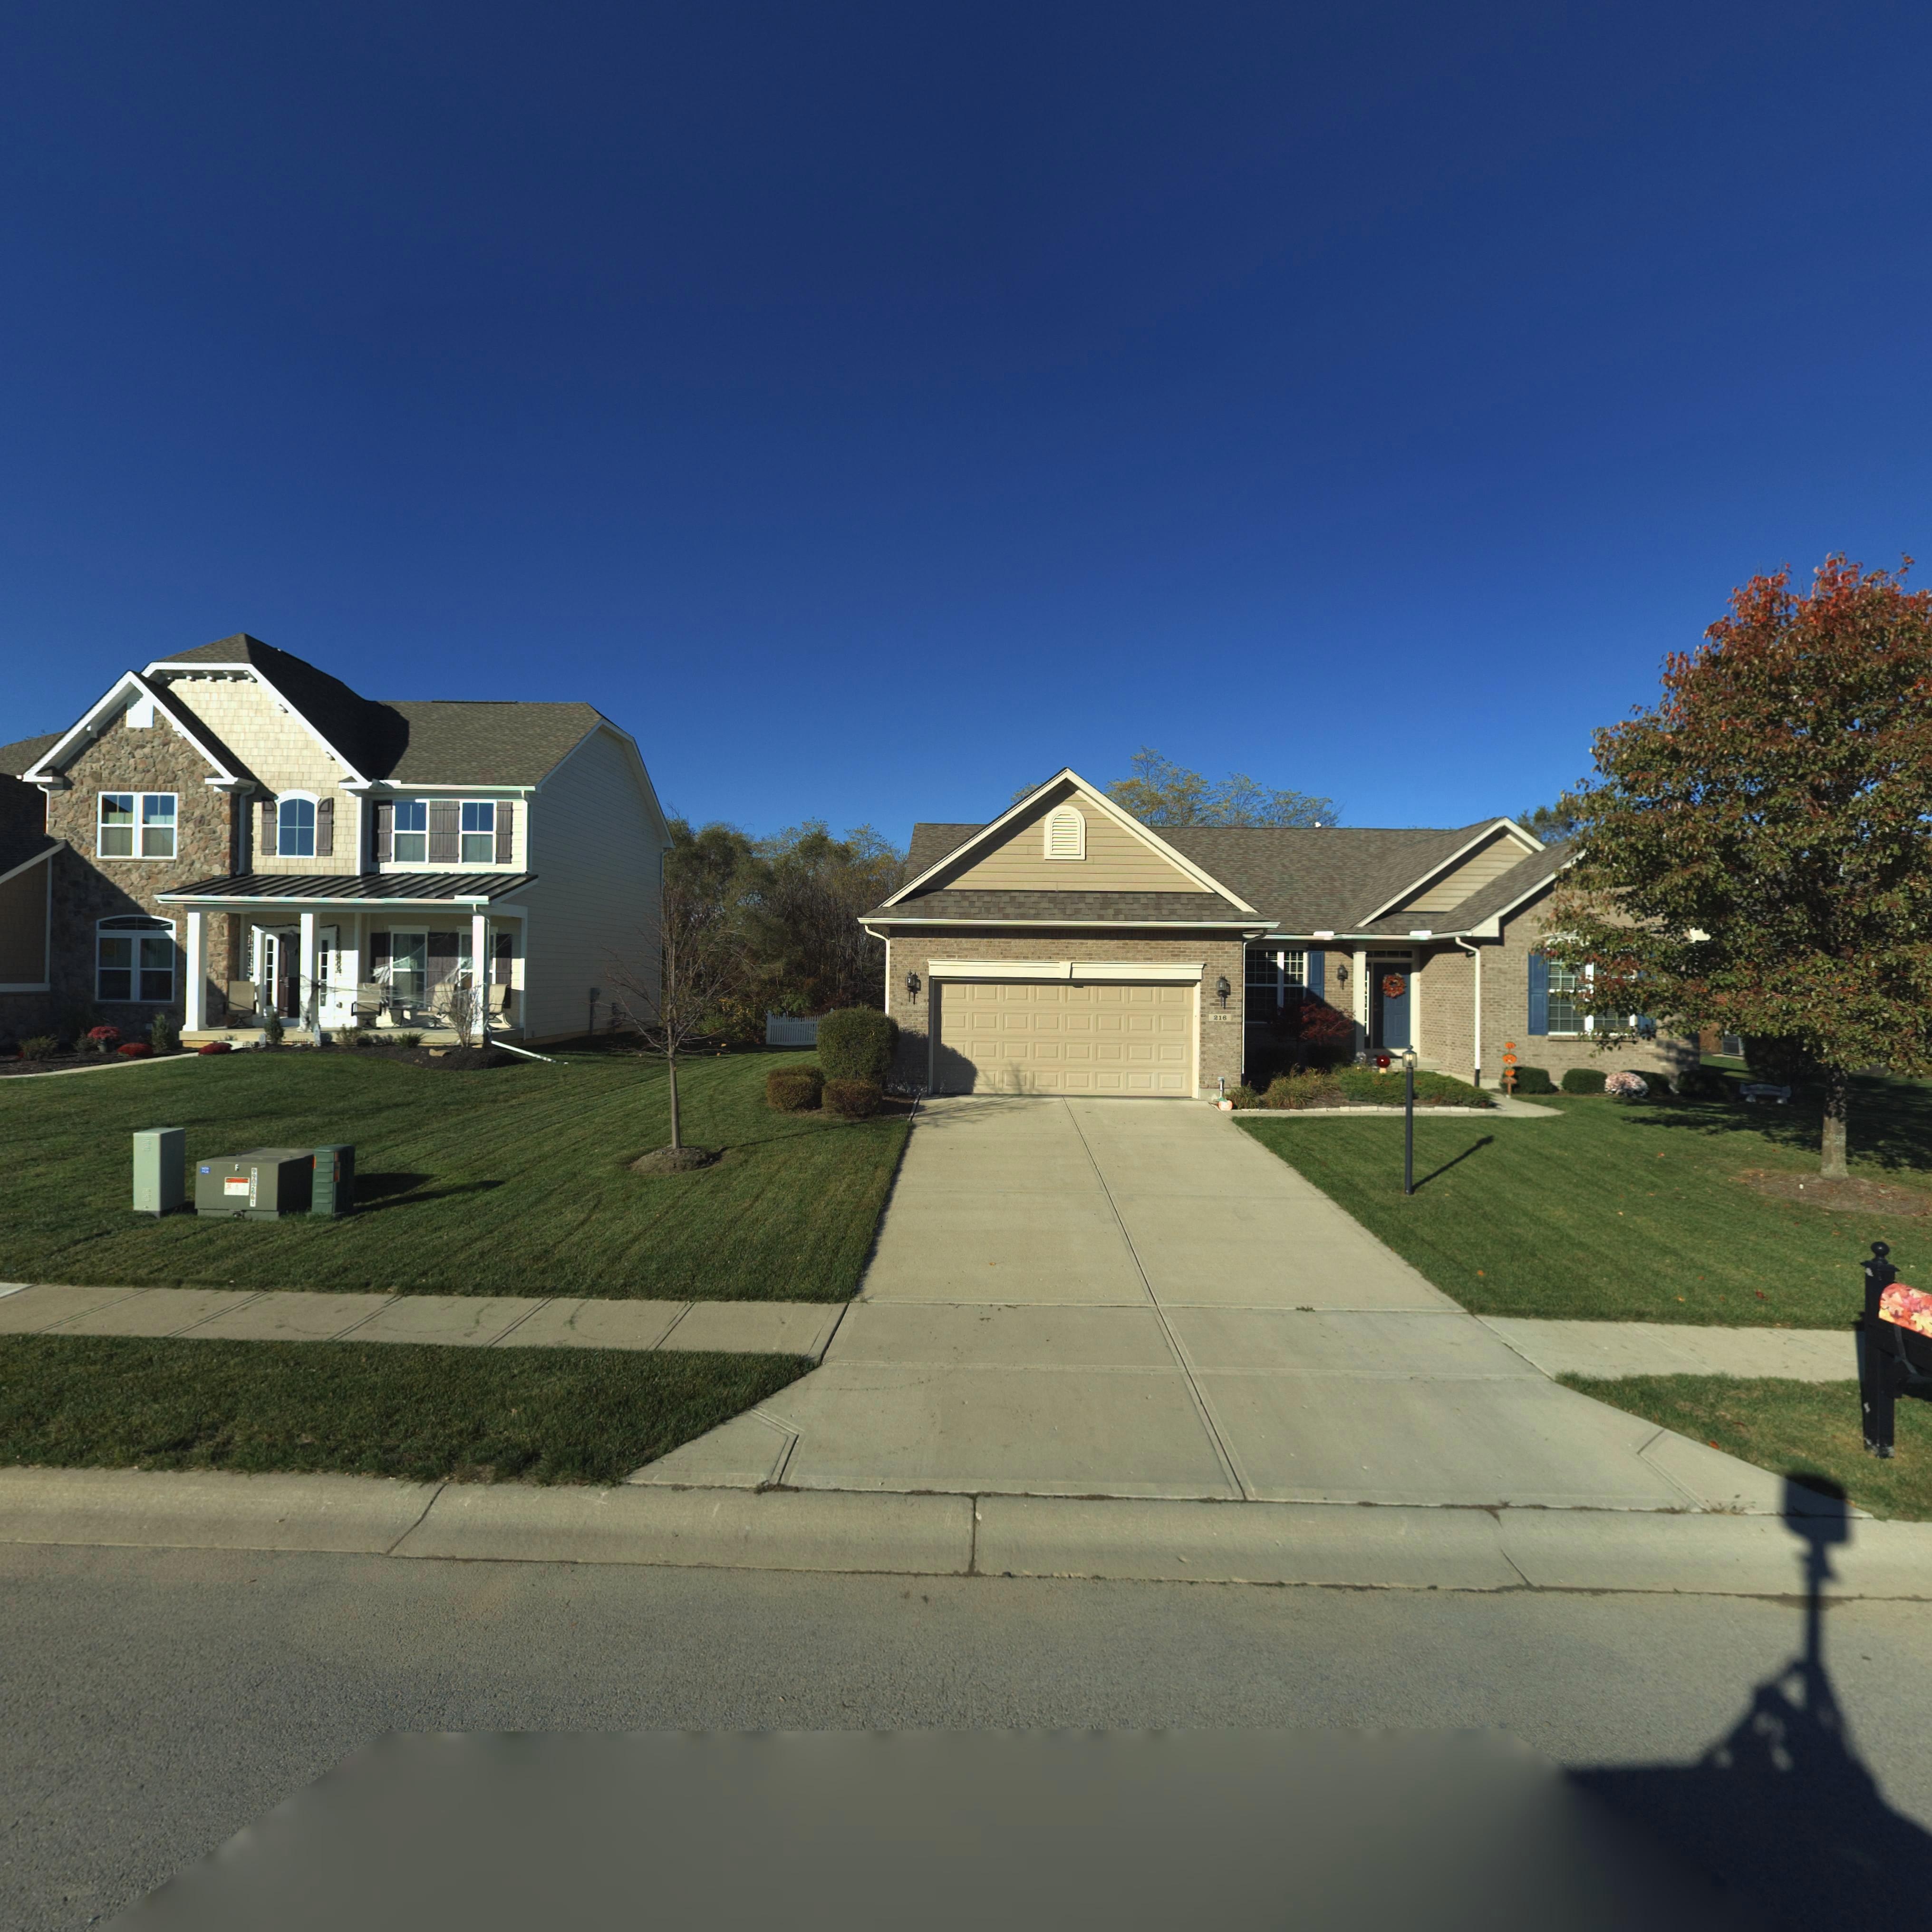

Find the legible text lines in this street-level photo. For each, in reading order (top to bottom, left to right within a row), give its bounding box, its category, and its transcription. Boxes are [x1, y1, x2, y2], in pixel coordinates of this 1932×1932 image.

[1213, 1014, 1227, 1021] StreetNumber: 216
[249, 1167, 256, 1206] None: 9902*61